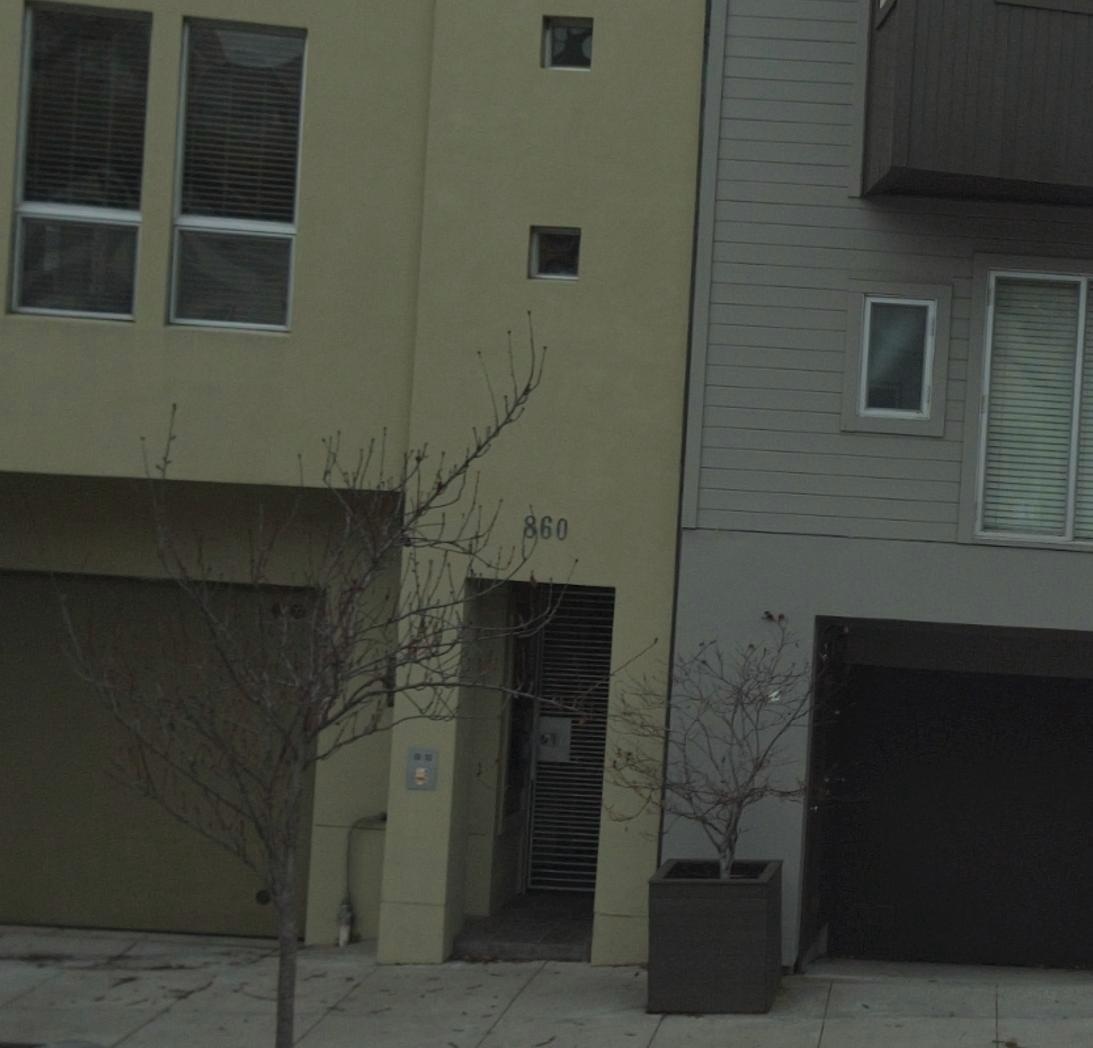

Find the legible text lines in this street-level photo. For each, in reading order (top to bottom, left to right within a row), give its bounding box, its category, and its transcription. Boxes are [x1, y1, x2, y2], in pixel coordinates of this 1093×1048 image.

[521, 514, 569, 542] StreetNumber: 860